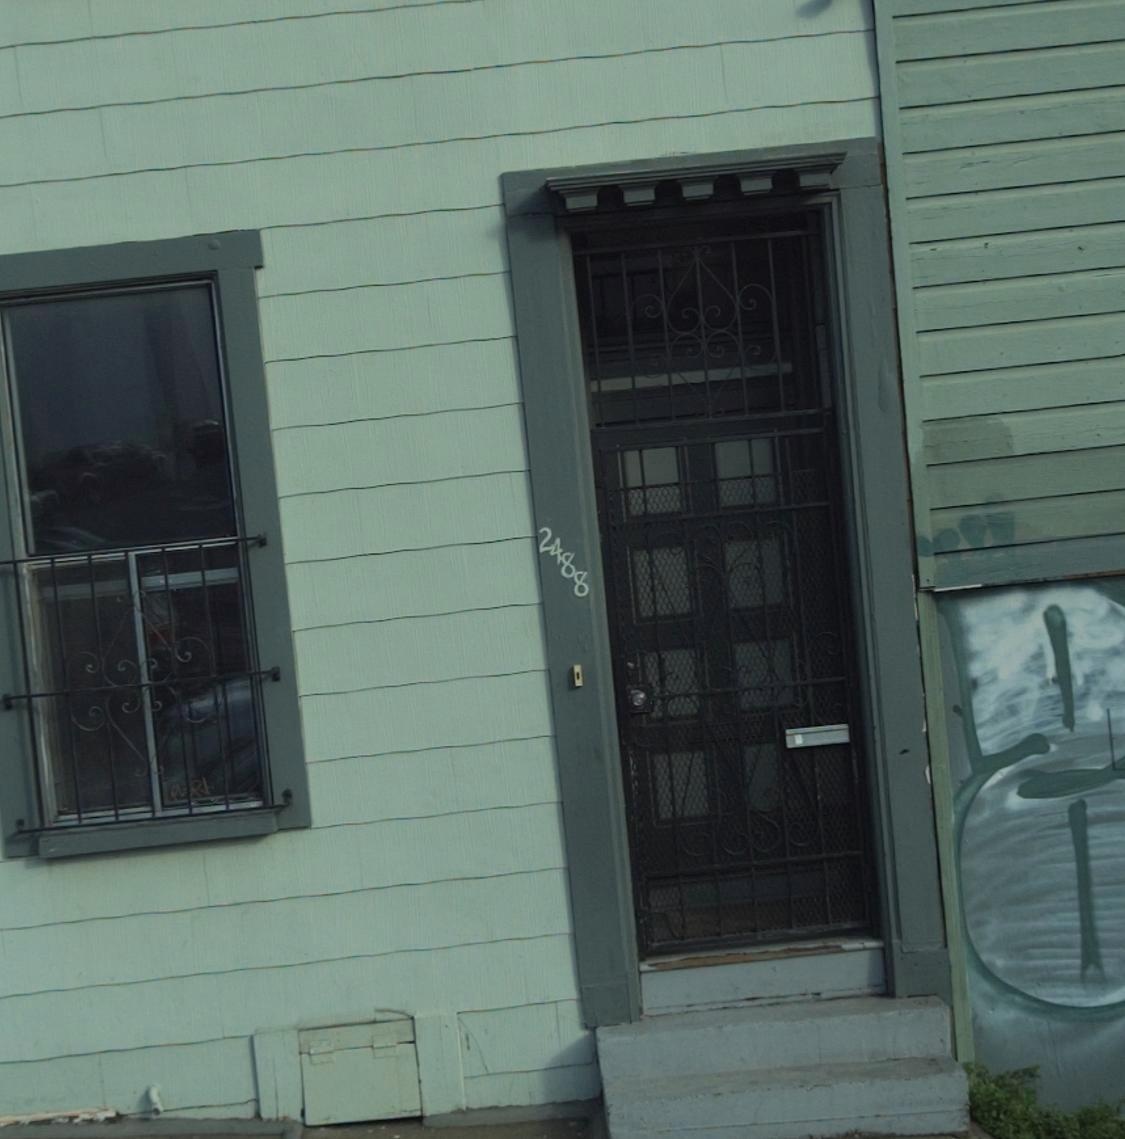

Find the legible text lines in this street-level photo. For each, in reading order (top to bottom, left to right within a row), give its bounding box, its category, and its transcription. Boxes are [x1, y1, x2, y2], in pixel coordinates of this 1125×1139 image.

[536, 523, 592, 600] StreetNumber: 2488